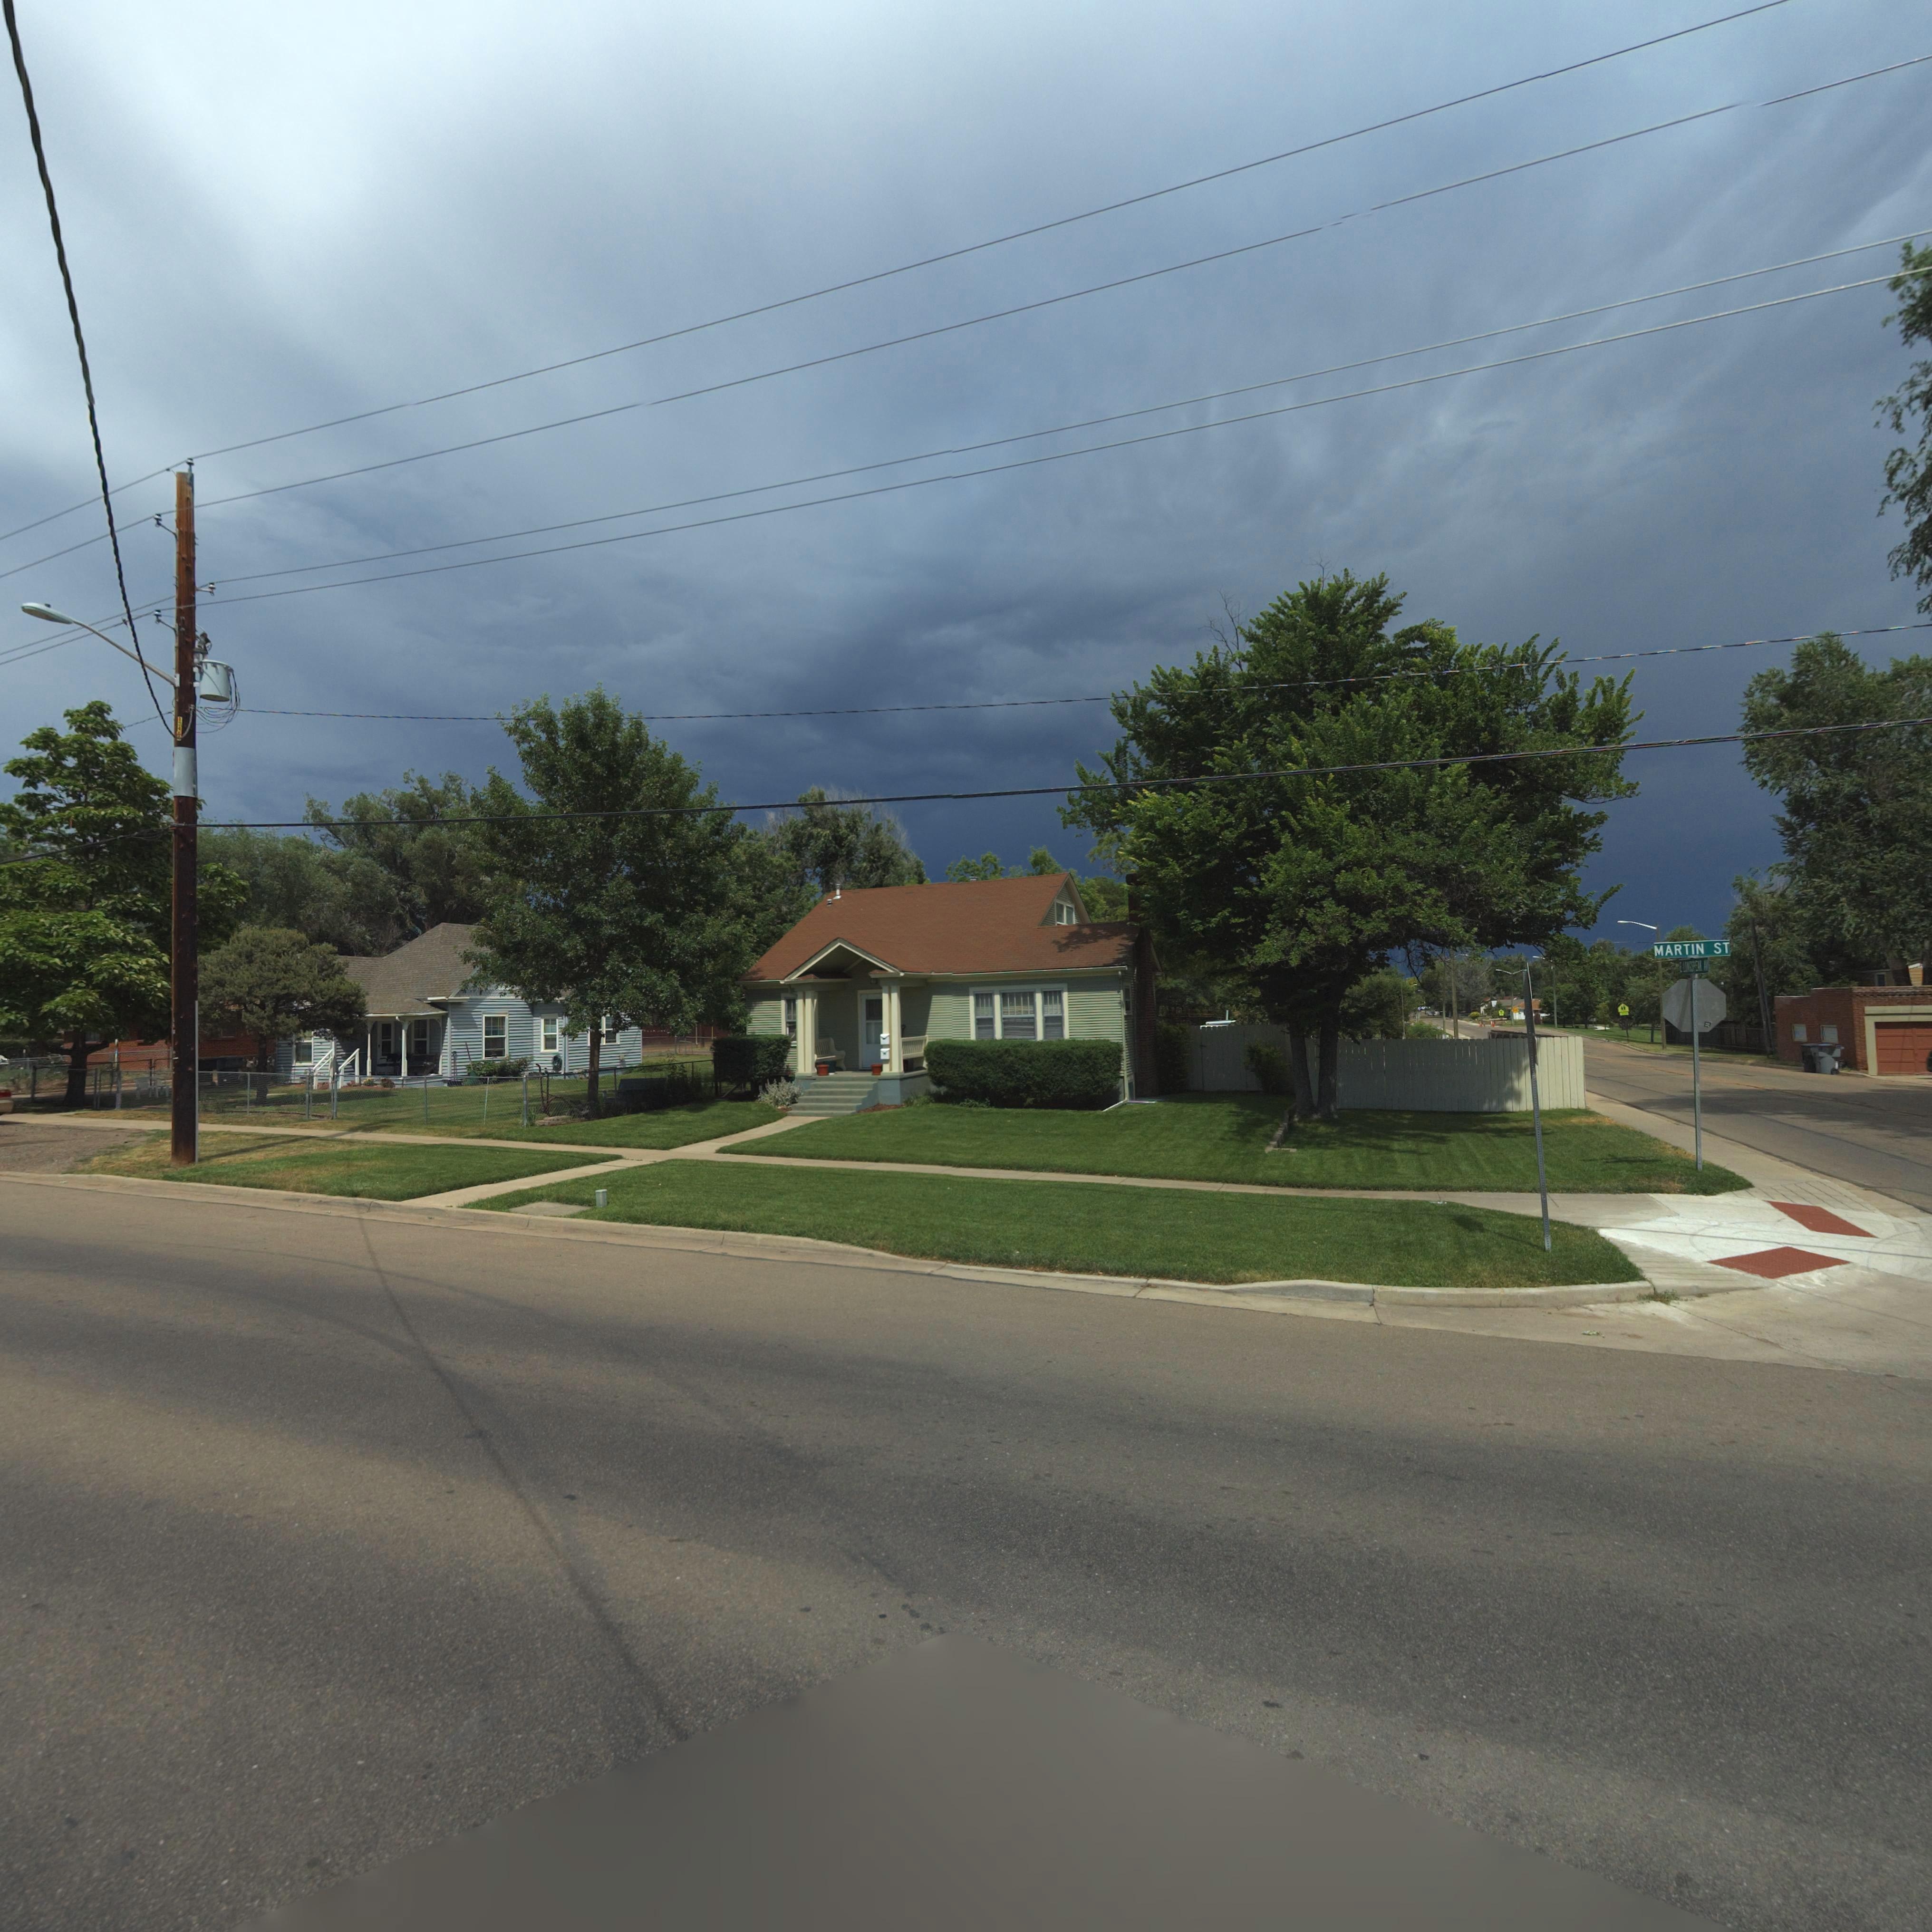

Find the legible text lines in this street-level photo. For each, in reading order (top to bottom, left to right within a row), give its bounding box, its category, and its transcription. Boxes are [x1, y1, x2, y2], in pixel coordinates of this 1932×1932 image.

[1654, 942, 1730, 956] StreetName: MARIN ST
[1678, 959, 1710, 974] StreetName: E LONGS PEAK AV